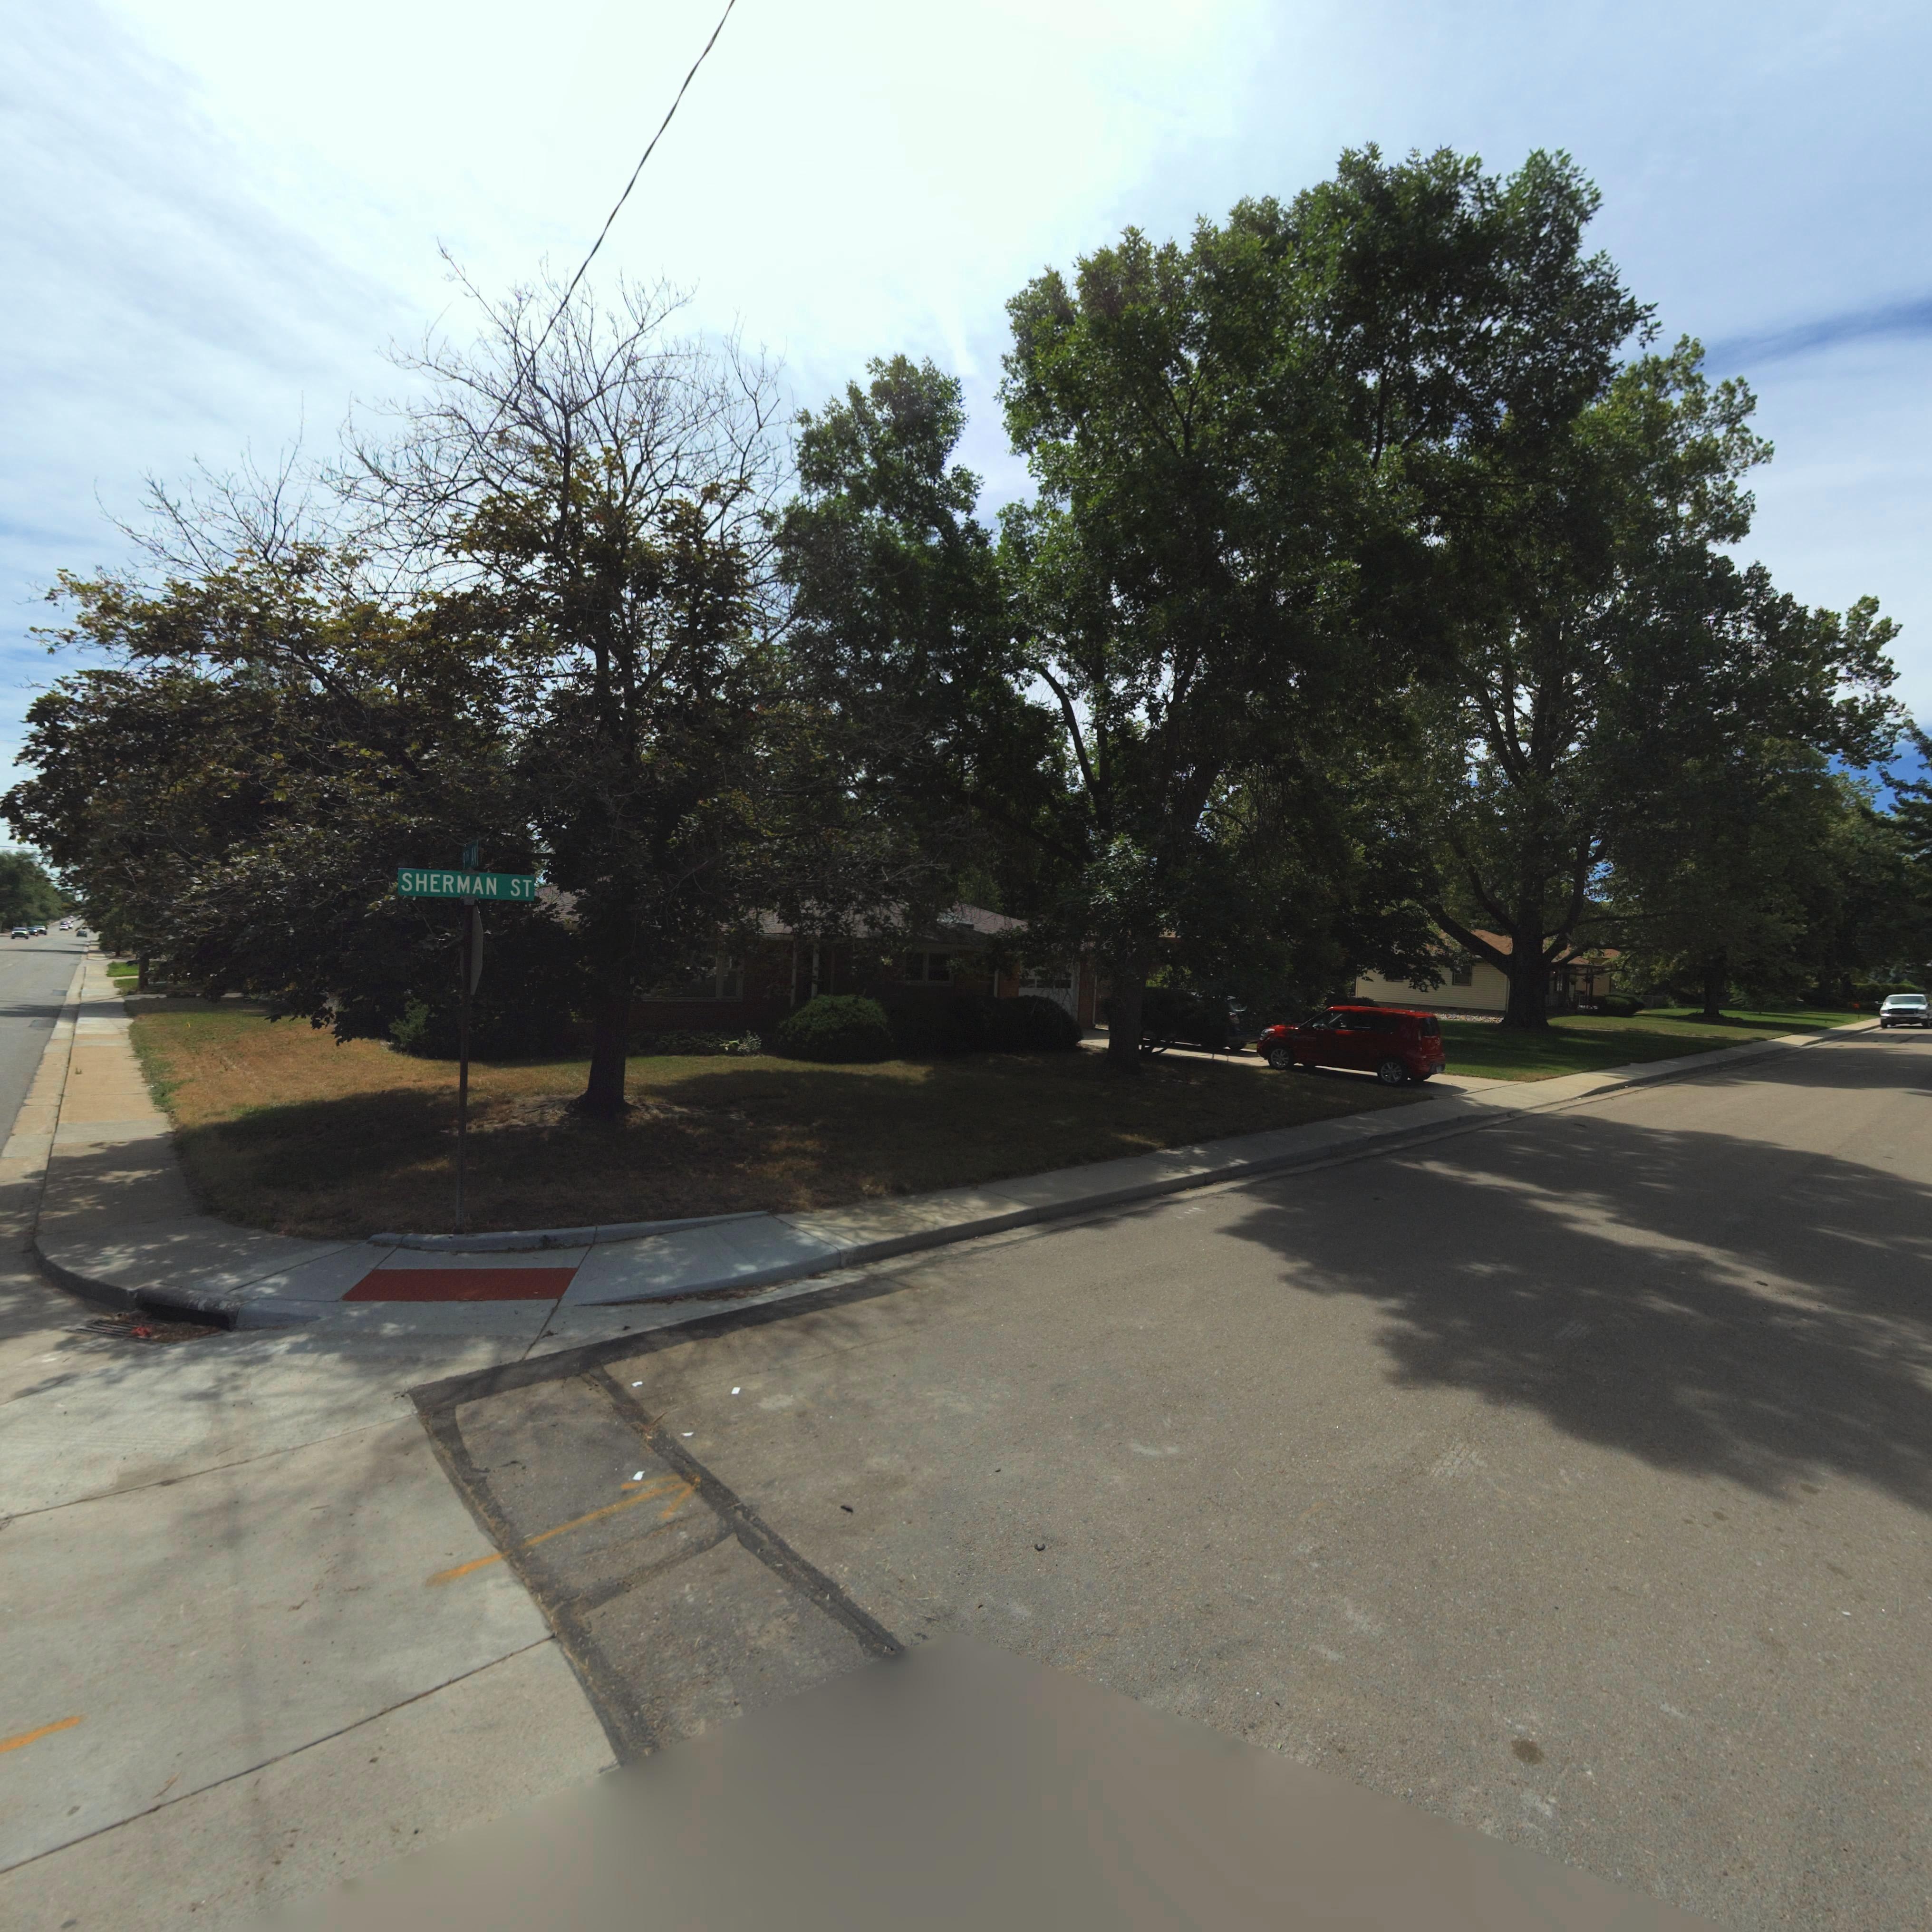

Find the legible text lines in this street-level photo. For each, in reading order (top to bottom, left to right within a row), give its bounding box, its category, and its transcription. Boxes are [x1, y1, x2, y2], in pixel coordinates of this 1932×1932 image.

[462, 845, 476, 869] StreetName: 9TH AV
[400, 872, 532, 897] StreetName: SHERMAN ST